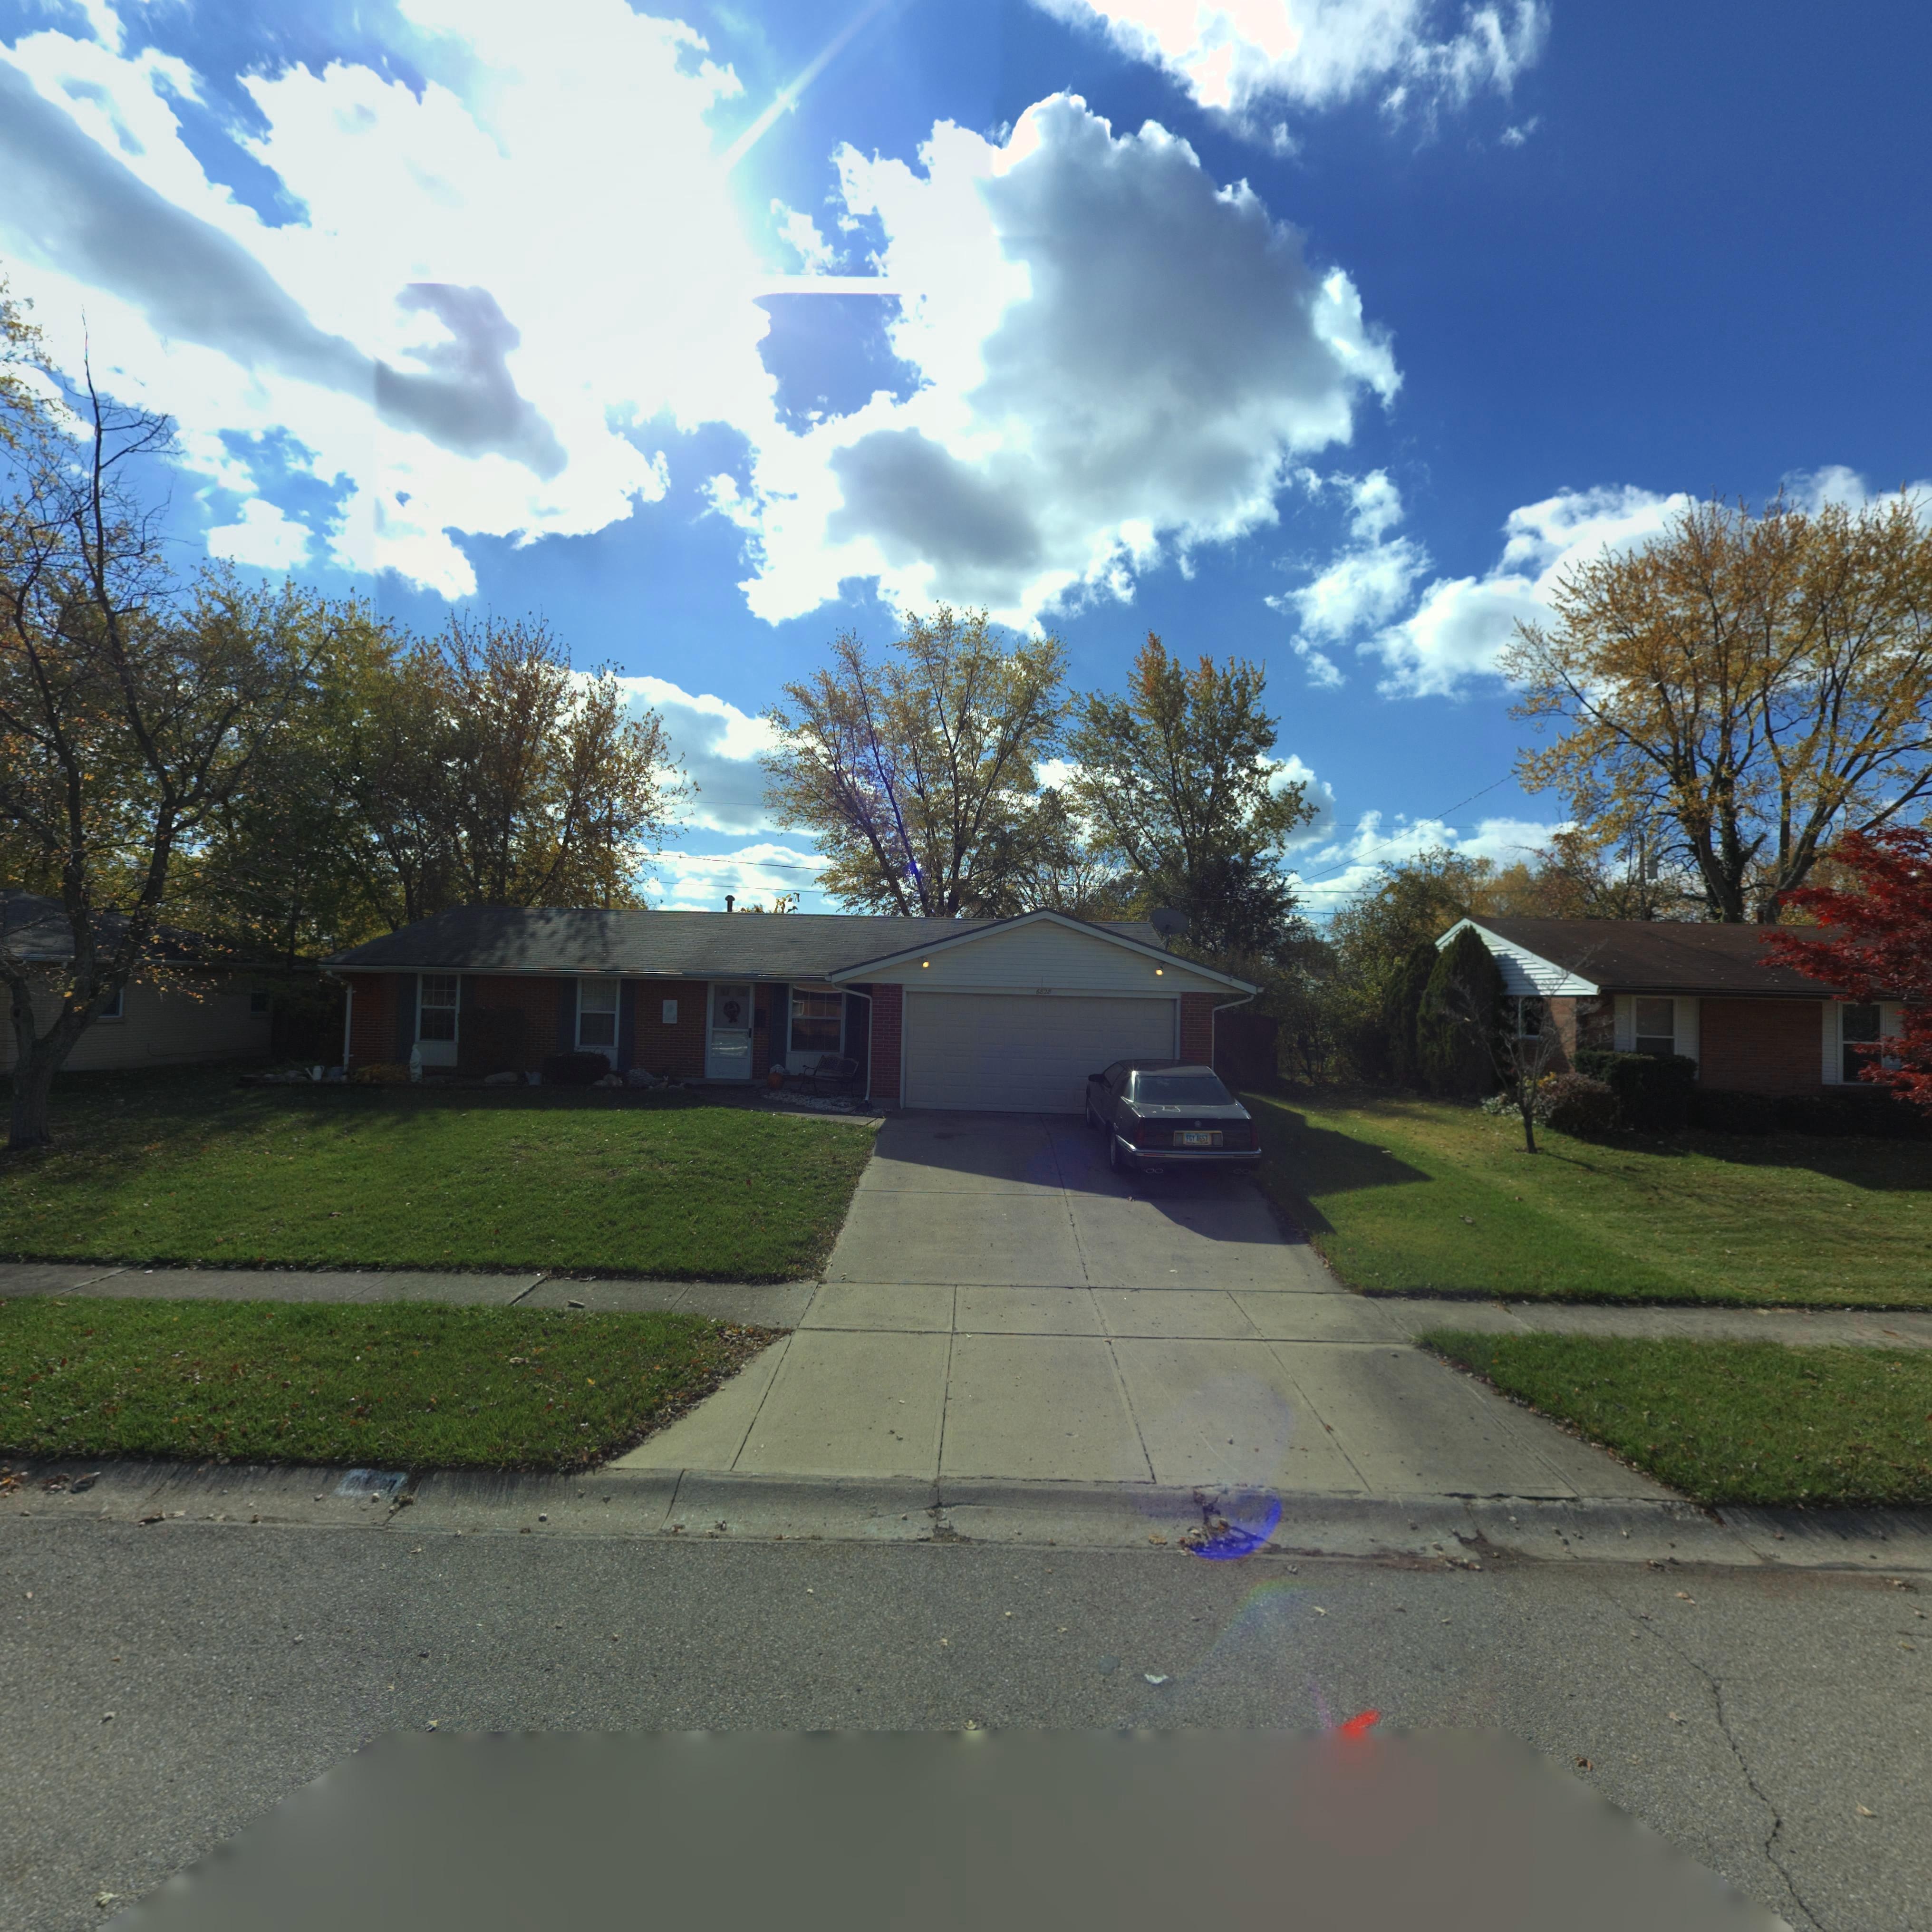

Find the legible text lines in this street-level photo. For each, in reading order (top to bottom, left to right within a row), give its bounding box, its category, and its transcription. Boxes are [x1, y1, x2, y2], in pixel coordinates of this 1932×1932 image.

[1035, 988, 1052, 995] StreetNumber: 6828
[1185, 1135, 1208, 1142] None: \
[344, 1474, 363, 1491] StreetNumber: 6